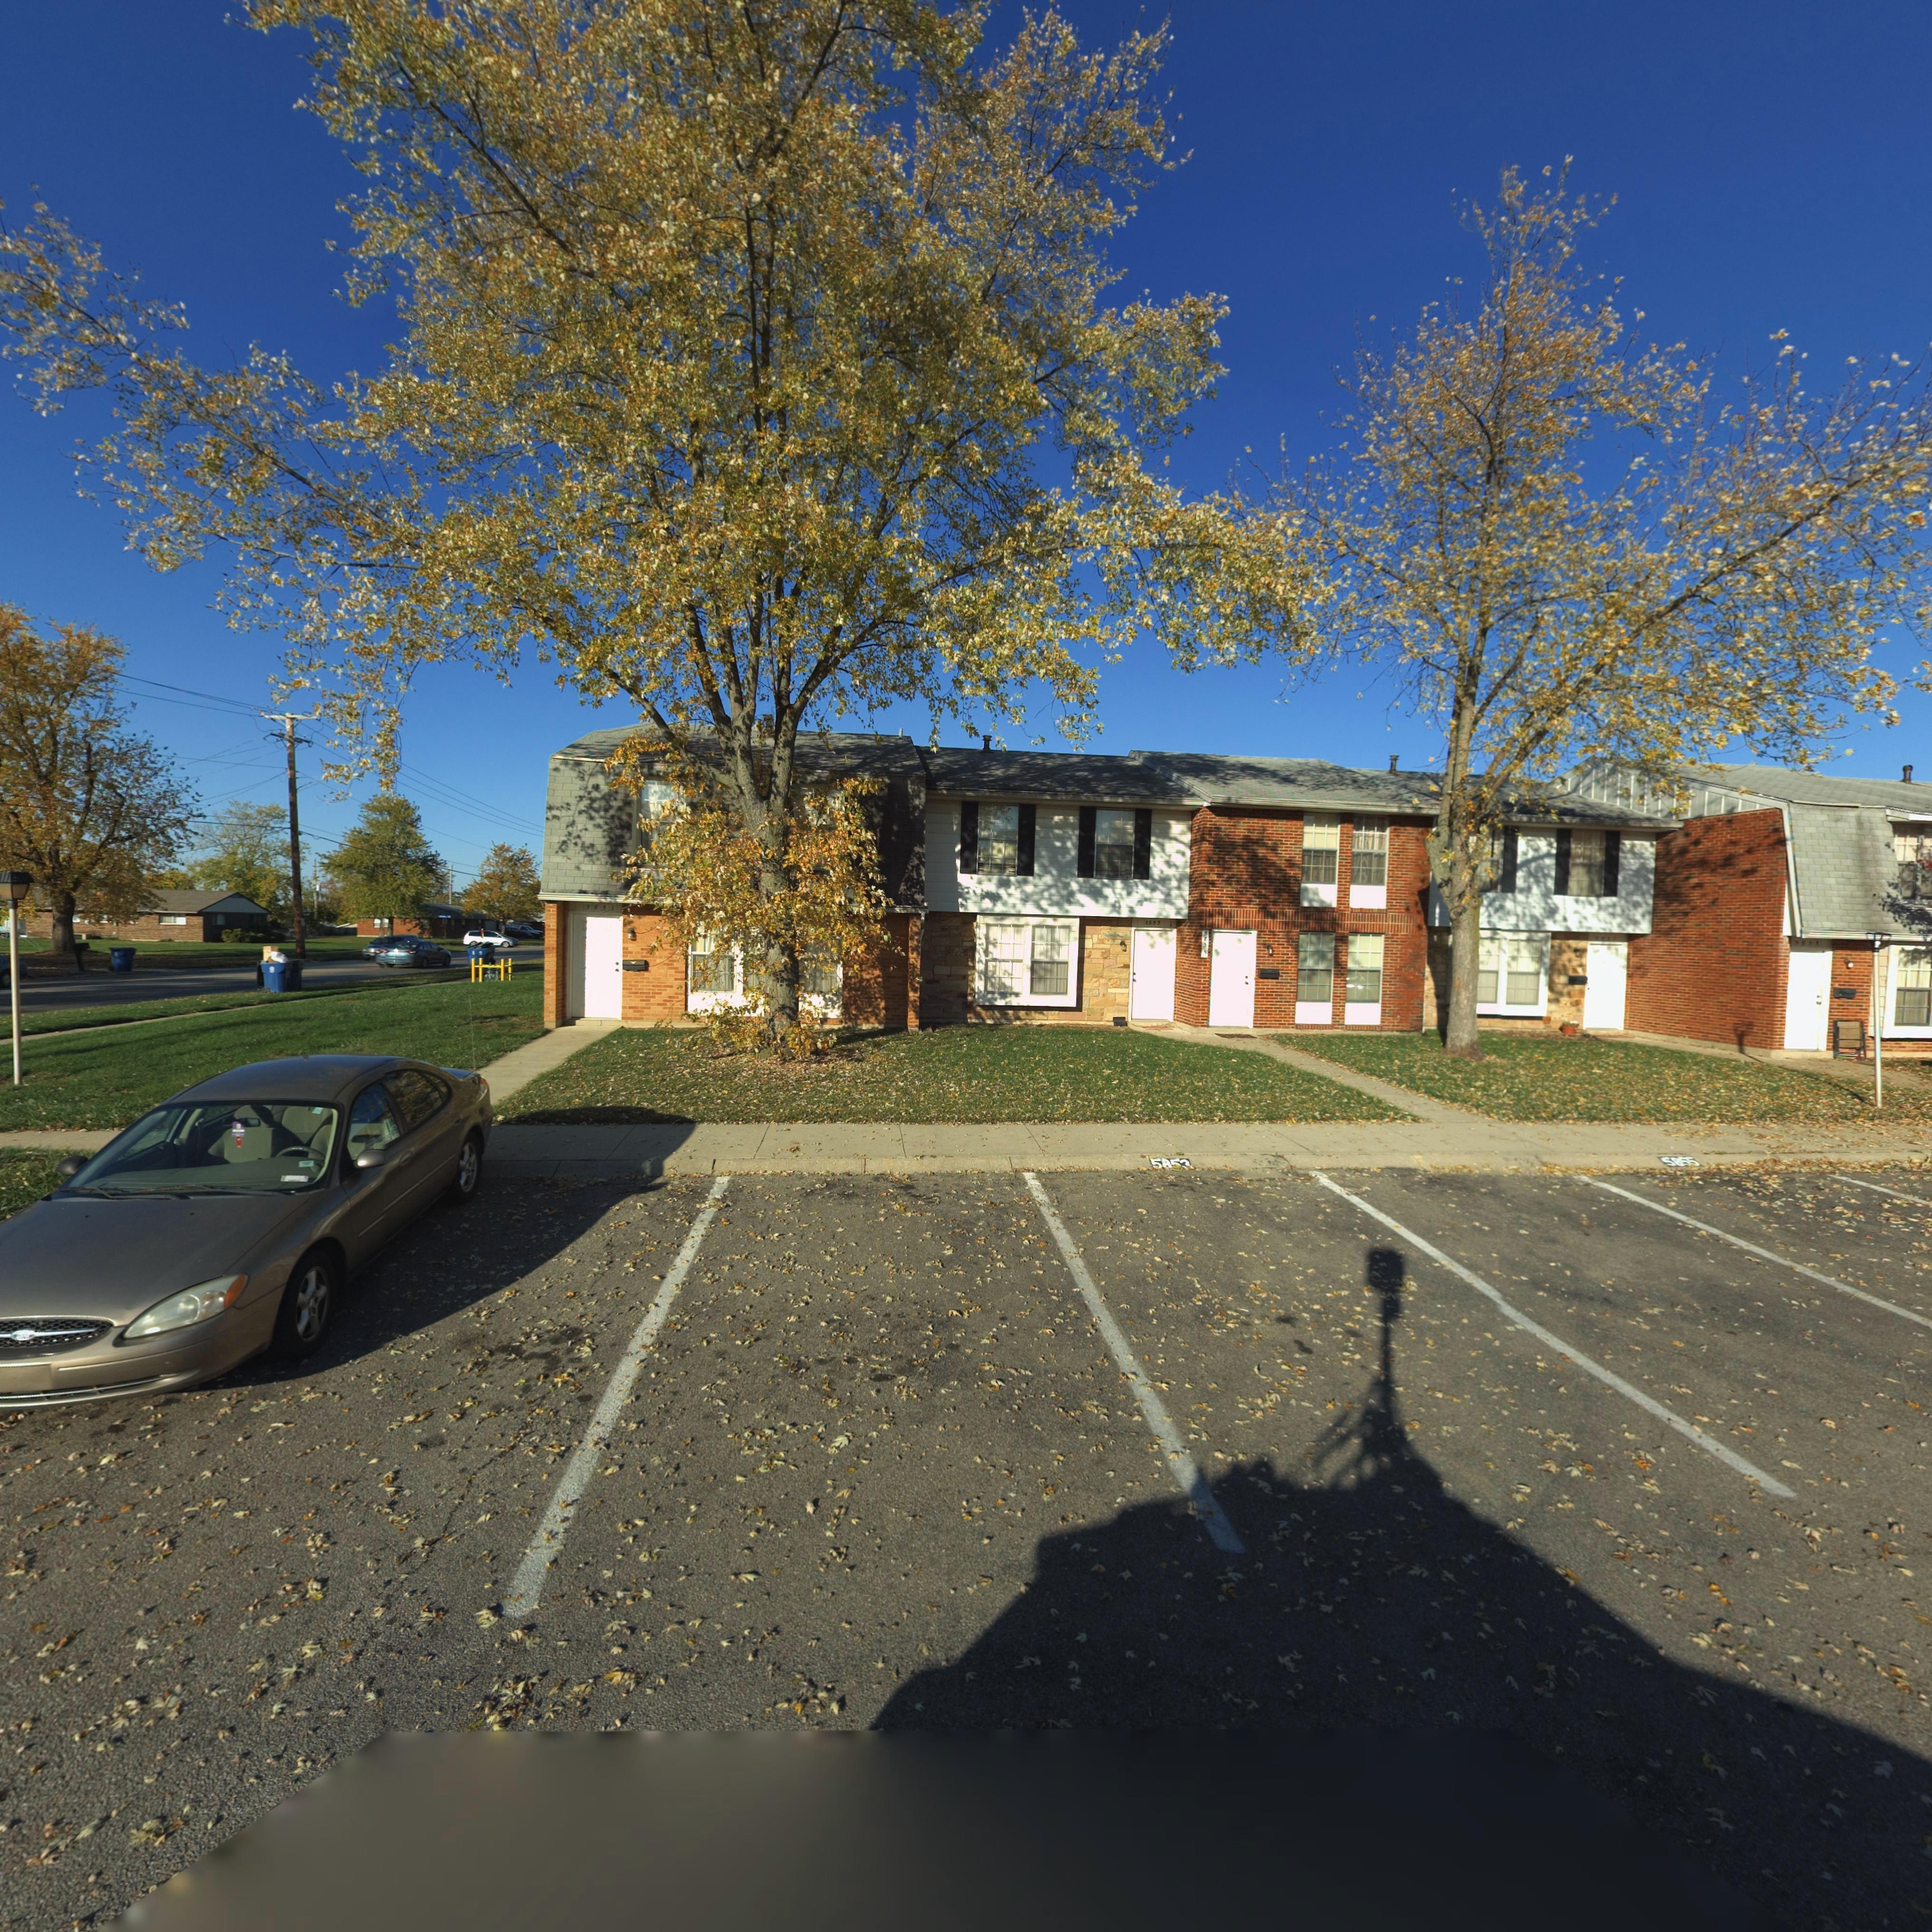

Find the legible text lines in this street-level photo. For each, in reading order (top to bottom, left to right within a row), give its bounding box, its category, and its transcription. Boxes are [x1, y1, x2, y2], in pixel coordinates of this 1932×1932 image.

[585, 903, 615, 912] StreetNumber: 5851
[1144, 919, 1162, 926] StreetNumber: 58**
[1202, 929, 1209, 956] StreetNumber: 585*
[1148, 1157, 1193, 1171] StreetNumber: 5***
[1660, 1156, 1701, 1168] StreetNumber: 58**